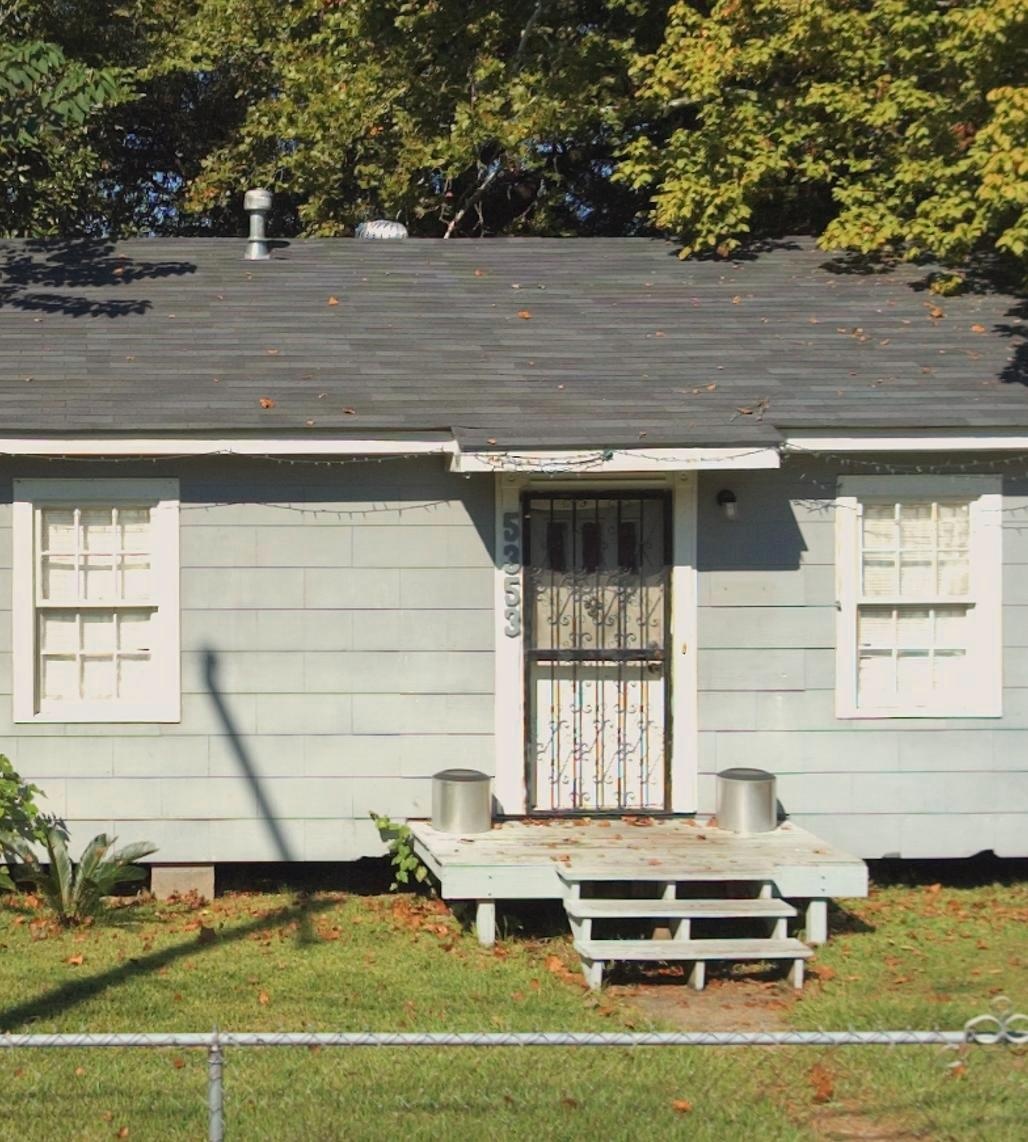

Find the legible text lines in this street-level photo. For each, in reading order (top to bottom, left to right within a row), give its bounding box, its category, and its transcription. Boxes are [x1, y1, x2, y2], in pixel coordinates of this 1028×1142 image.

[502, 511, 523, 639] StreetNumber: 5353